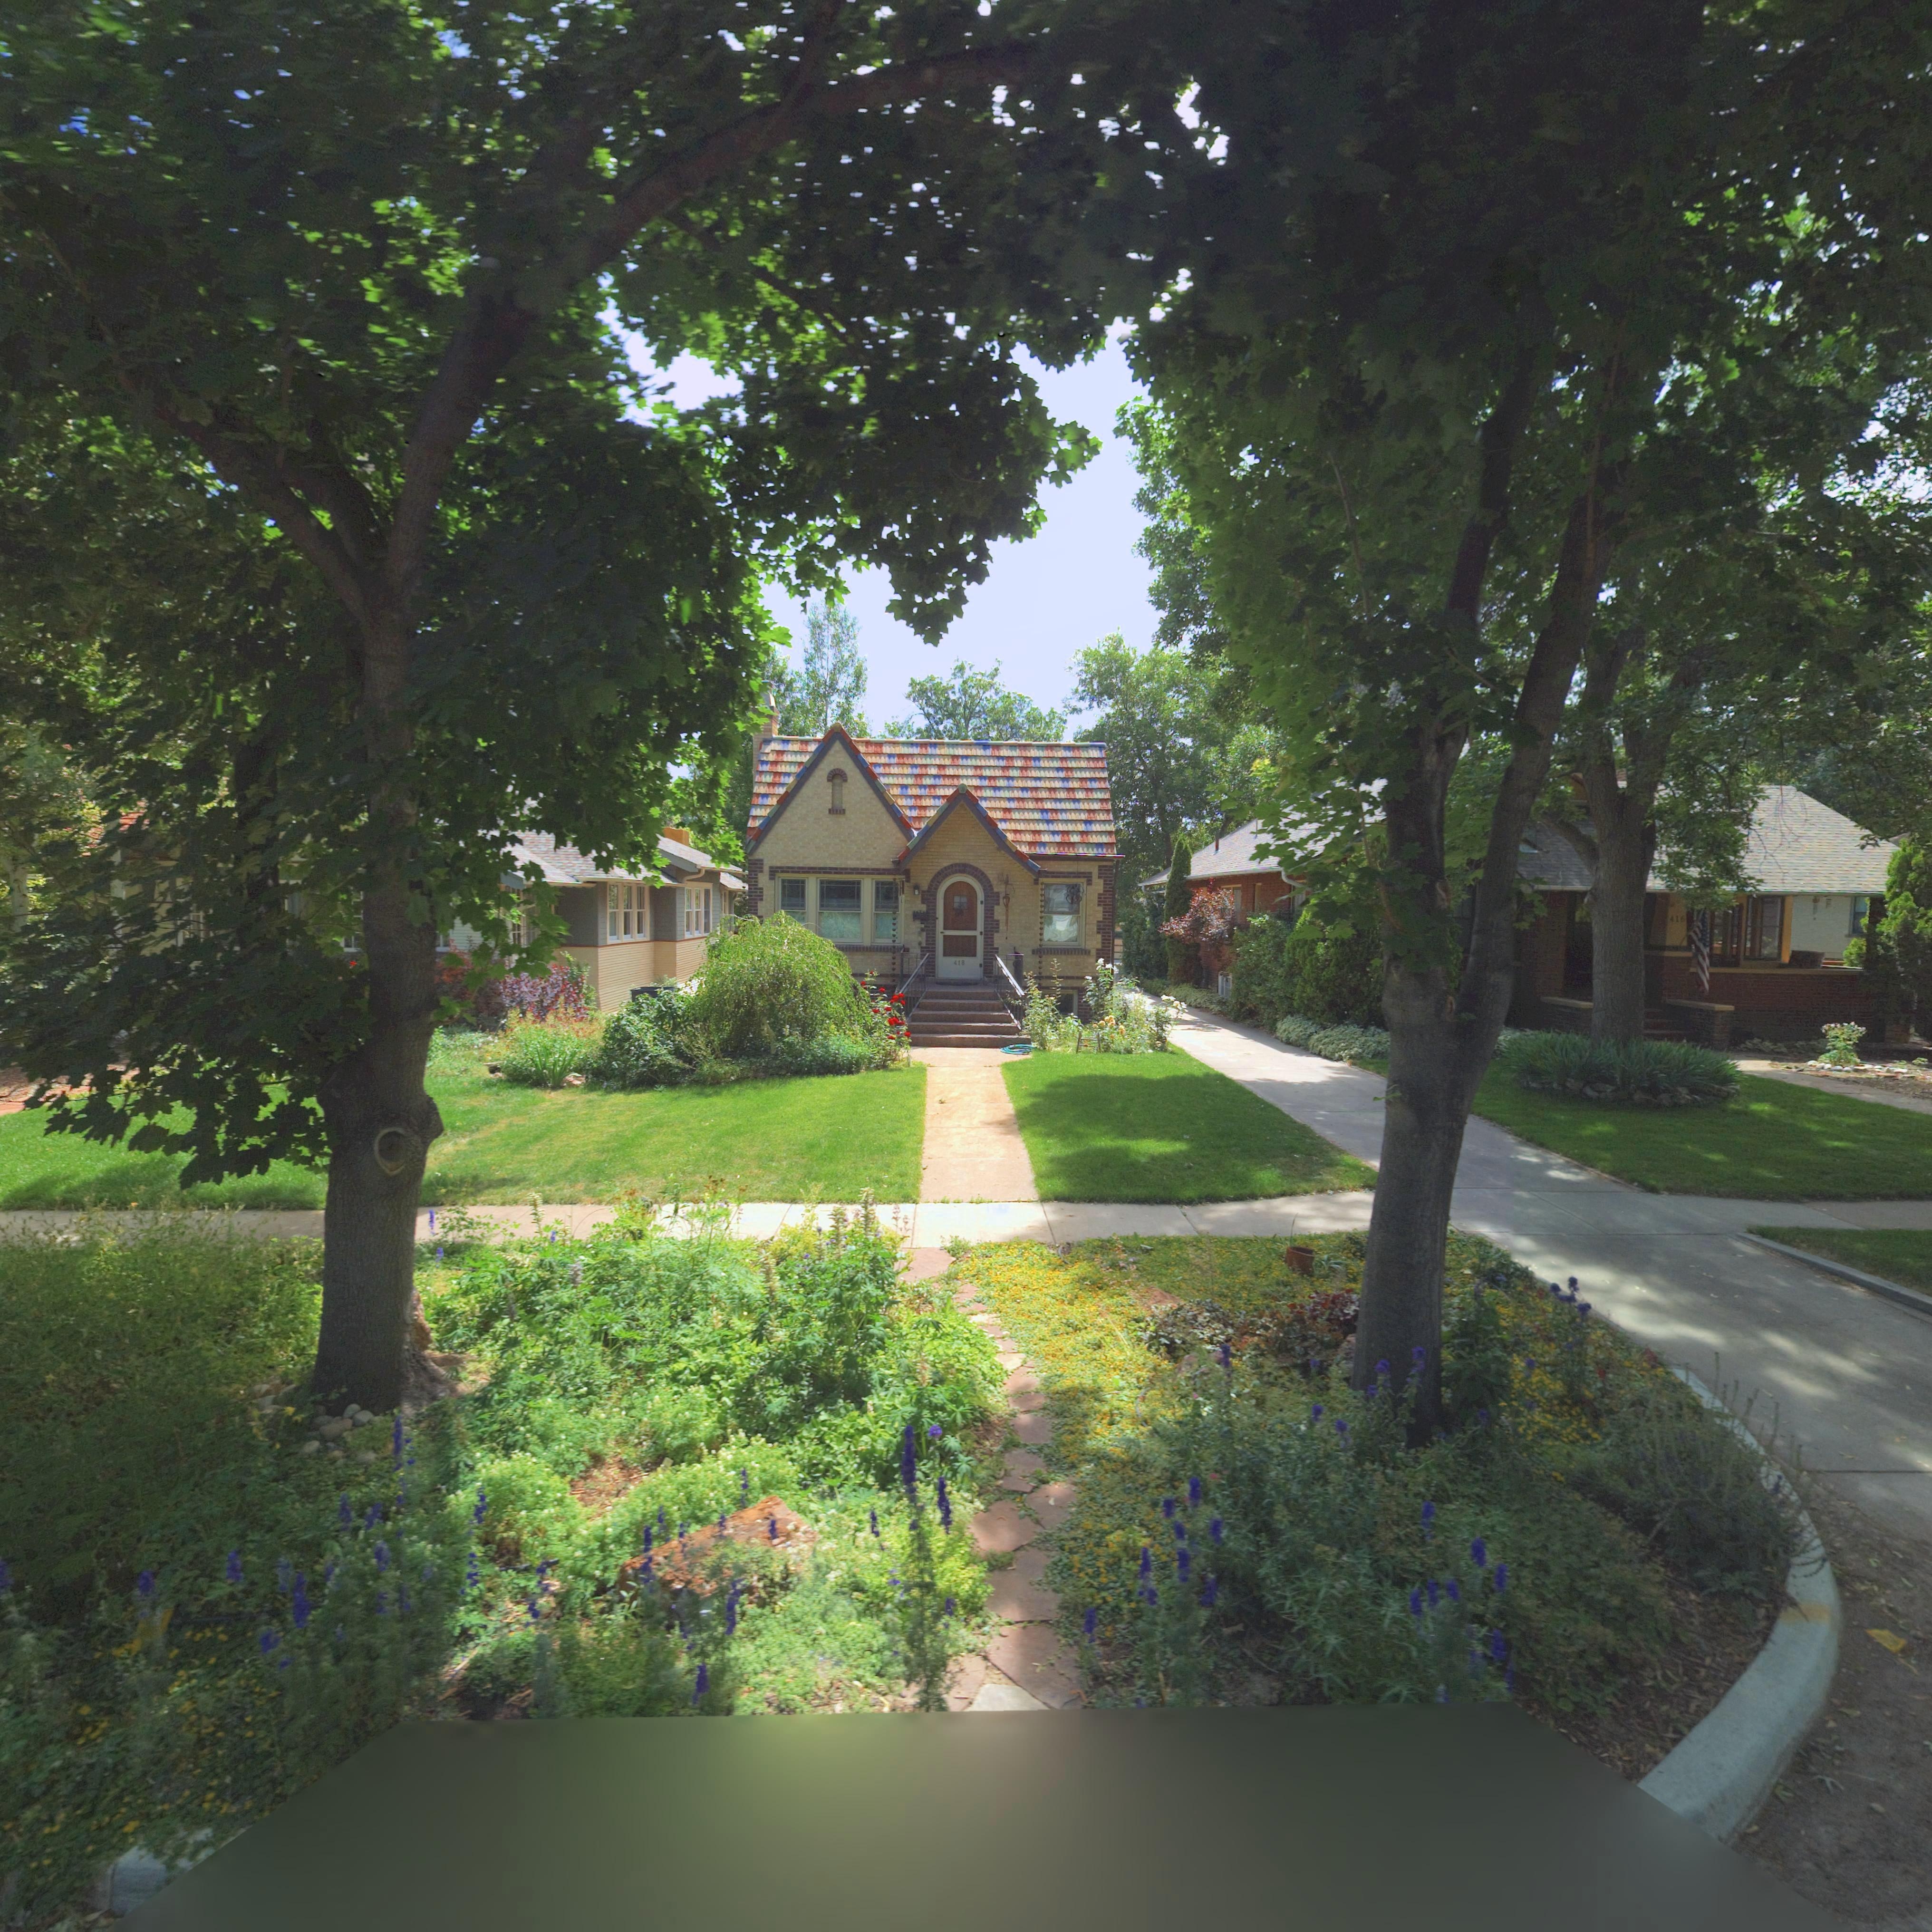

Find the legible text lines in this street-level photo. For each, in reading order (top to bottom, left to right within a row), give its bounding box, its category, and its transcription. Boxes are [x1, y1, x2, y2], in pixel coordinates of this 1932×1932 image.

[1669, 915, 1686, 922] StreetNumber: 416
[954, 959, 964, 966] StreetNumber: 418